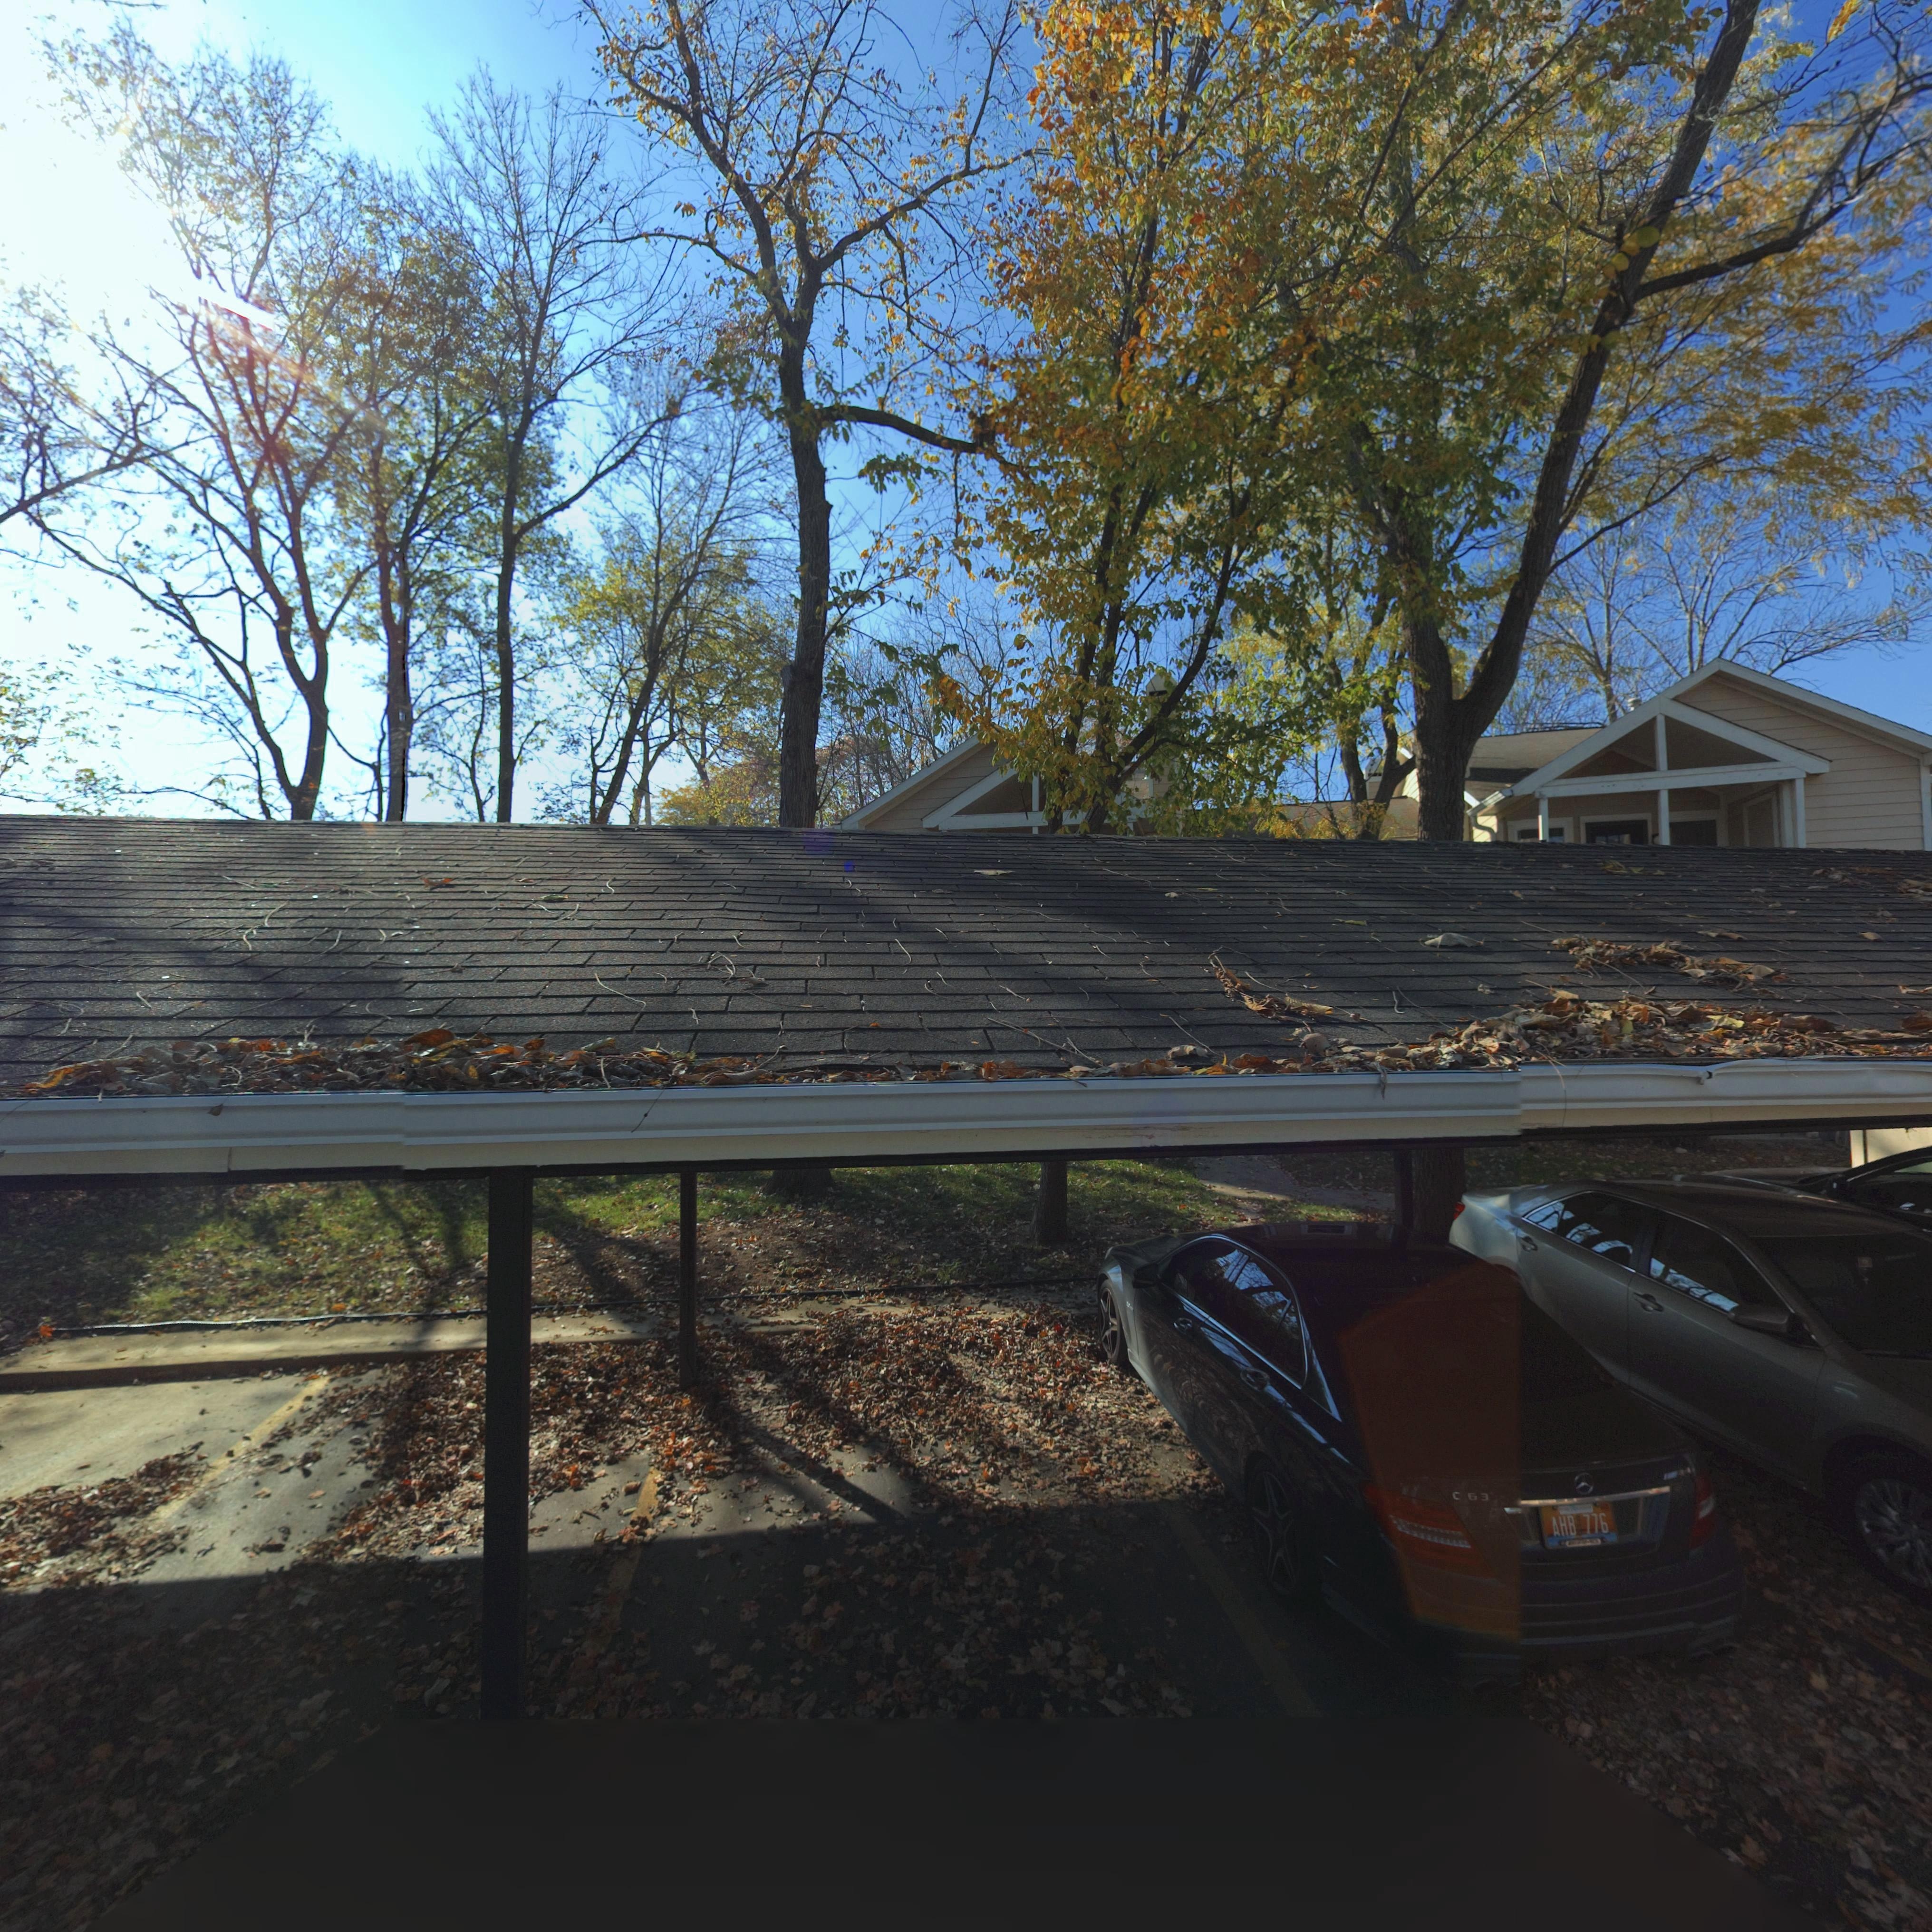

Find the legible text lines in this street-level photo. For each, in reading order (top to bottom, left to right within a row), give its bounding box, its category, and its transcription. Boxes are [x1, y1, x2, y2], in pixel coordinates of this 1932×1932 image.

[1450, 1490, 1491, 1504] None: C 63
[1551, 1511, 1611, 1538] None: AHB*776